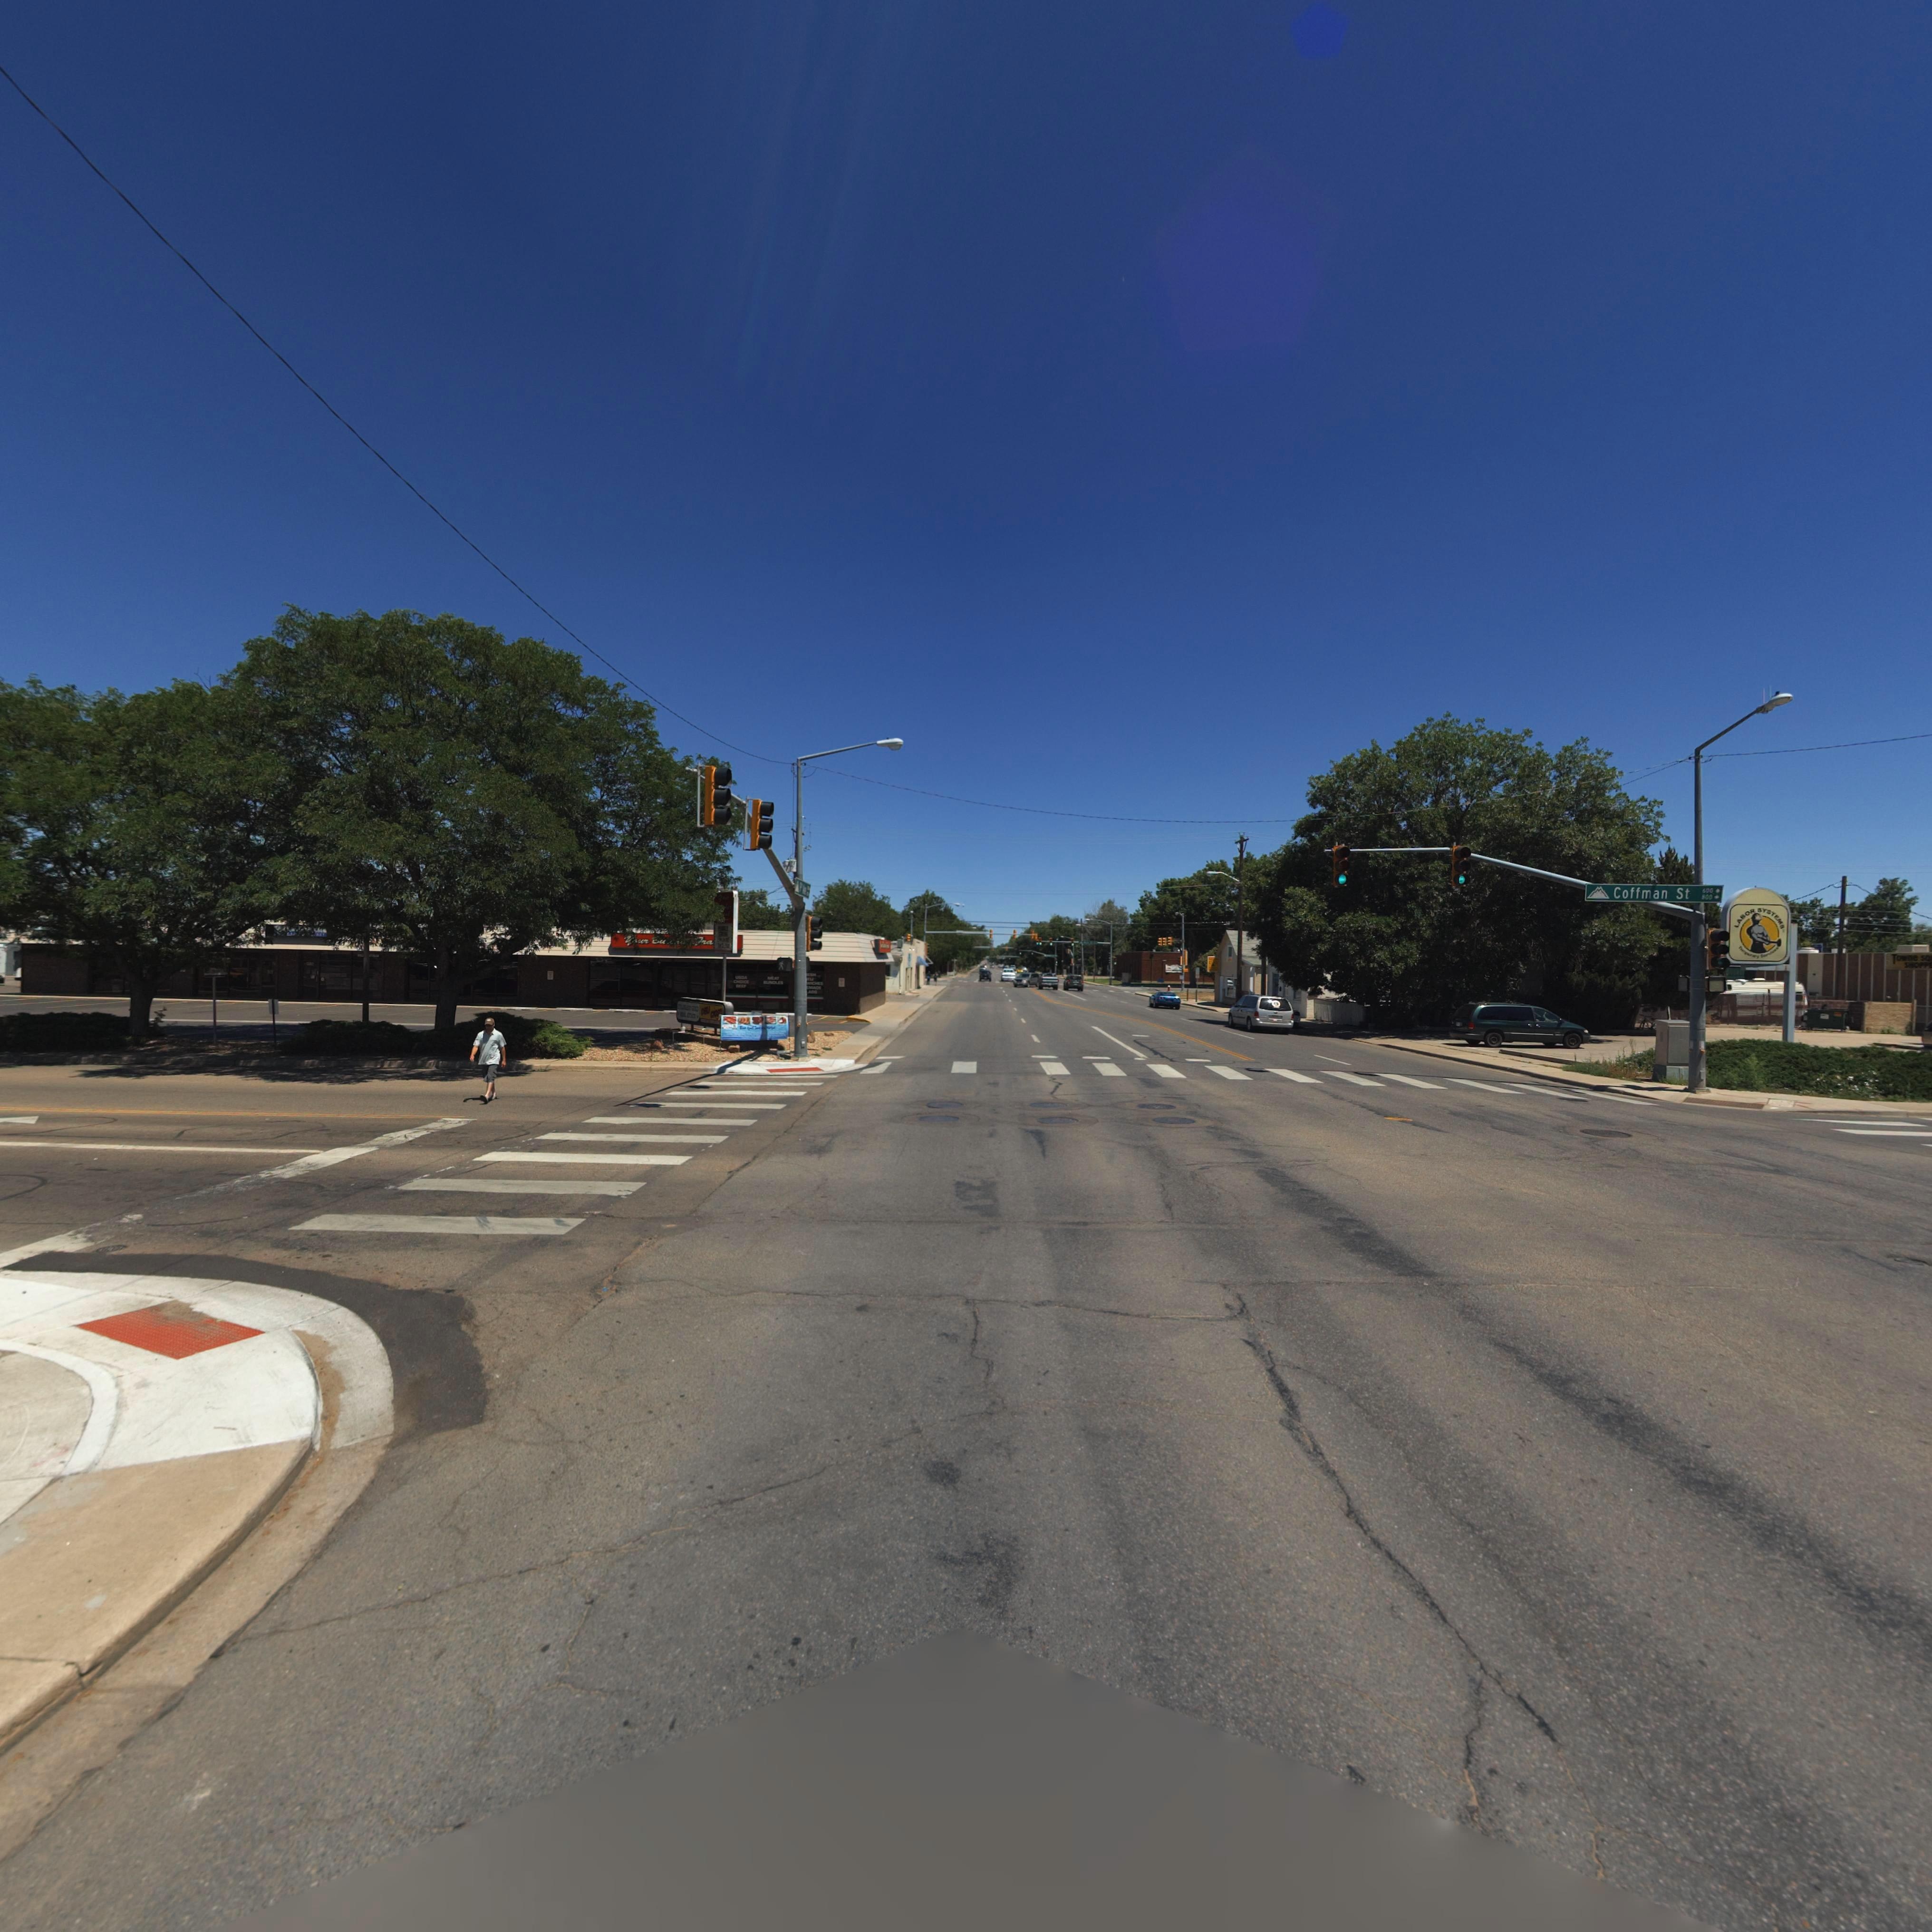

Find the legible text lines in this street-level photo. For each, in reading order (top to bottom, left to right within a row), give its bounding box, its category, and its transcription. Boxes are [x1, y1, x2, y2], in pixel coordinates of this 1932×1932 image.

[718, 894, 729, 902] BusinessName: *o**
[799, 881, 807, 895] StreetName: 9** A*e
[1613, 886, 1690, 900] StreetName: Coffman St
[1701, 887, 1714, 894] StreetNumberRange: 600
[1701, 894, 1720, 900] StreetNumberRange: 800 ->
[716, 904, 732, 910] BusinessName: *****e*
[718, 911, 730, 917] BusinessName: ****k
[1733, 907, 1785, 929] BusinessName: LABOR SYSTEMS
[289, 931, 325, 937] BusinessName: S****** ****ET
[622, 935, 724, 947] BusinessName: *ou* *u*****, **a**
[1083, 941, 1093, 944] StreetName: M*** **
[1890, 953, 1931, 965] BusinessName: Towne SQ
[1904, 961, 1930, 968] BusinessName: SHOPP
[677, 1004, 699, 1012] BusinessName: CO***** G**D
[679, 1011, 696, 1019] BusinessName: ***L ****T*
[701, 1005, 710, 1015] BusinessName: DELI
[710, 1005, 722, 1019] BusinessName: c*o**
[700, 1018, 720, 1025] BusinessName: *****A* R*********
[739, 1025, 775, 1030] BusinessName: **** Ree* ******* *****t